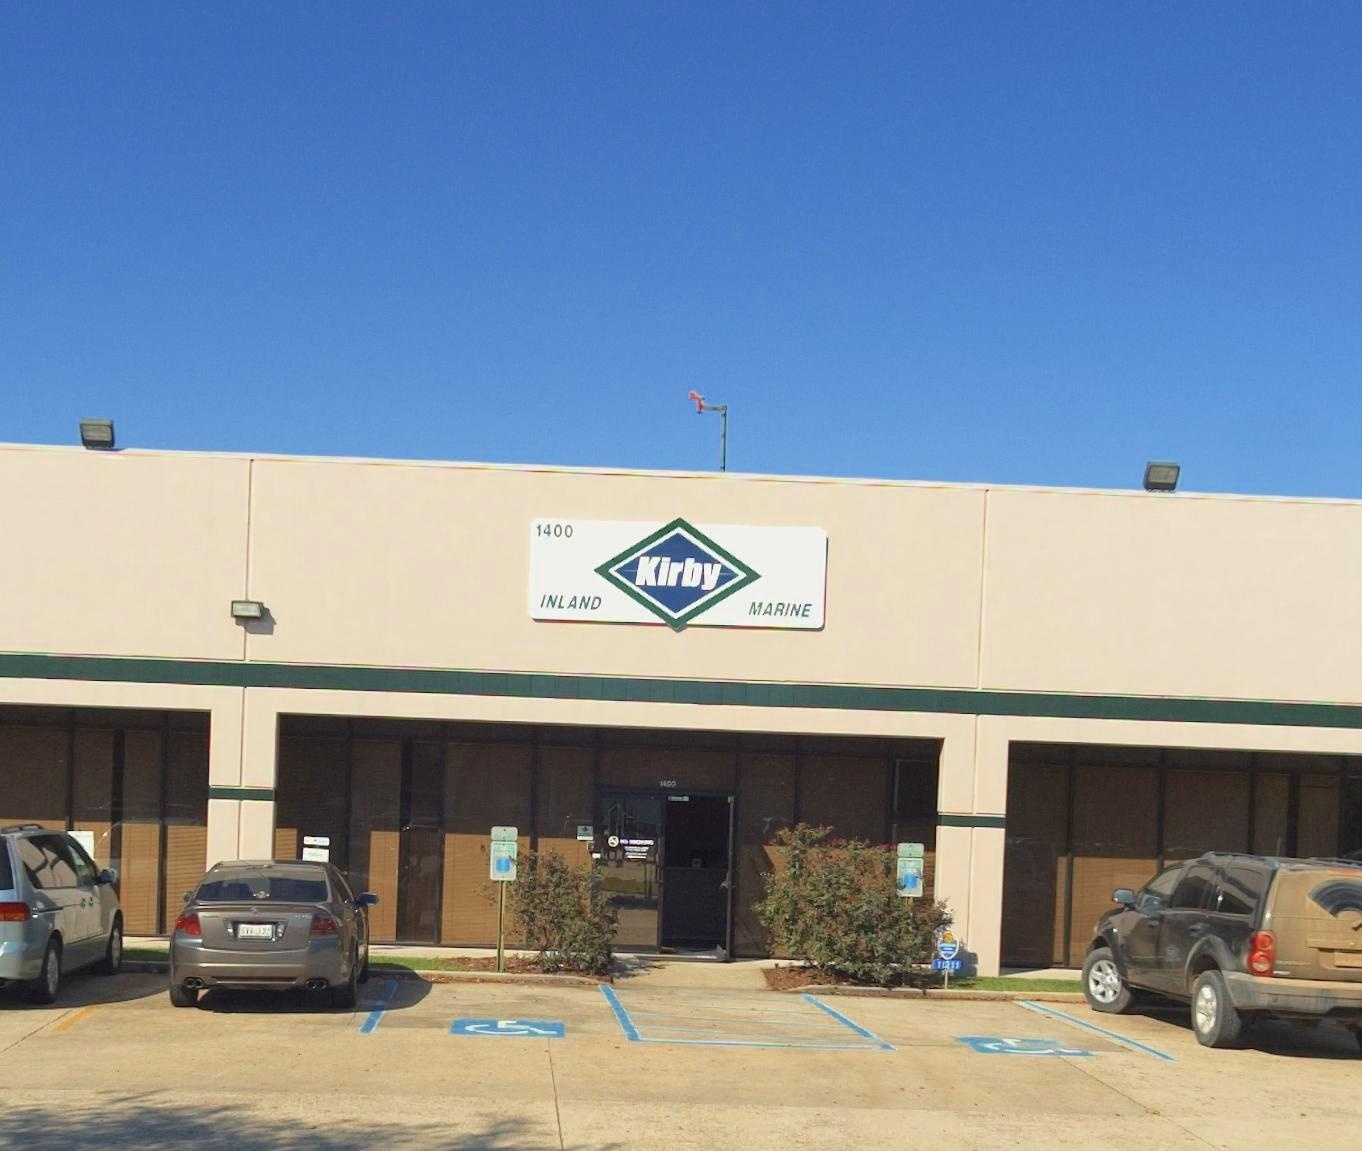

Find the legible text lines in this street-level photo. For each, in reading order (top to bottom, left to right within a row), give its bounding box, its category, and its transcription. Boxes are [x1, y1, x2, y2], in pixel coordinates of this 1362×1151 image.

[532, 519, 577, 541] StreetNumber: 1400
[633, 553, 727, 594] BusinessName: Kirby
[536, 591, 605, 613] None: INLAND
[743, 598, 816, 621] None: MARINE
[657, 777, 678, 790] StreetNumber: 1400
[934, 959, 963, 970] None: 11211